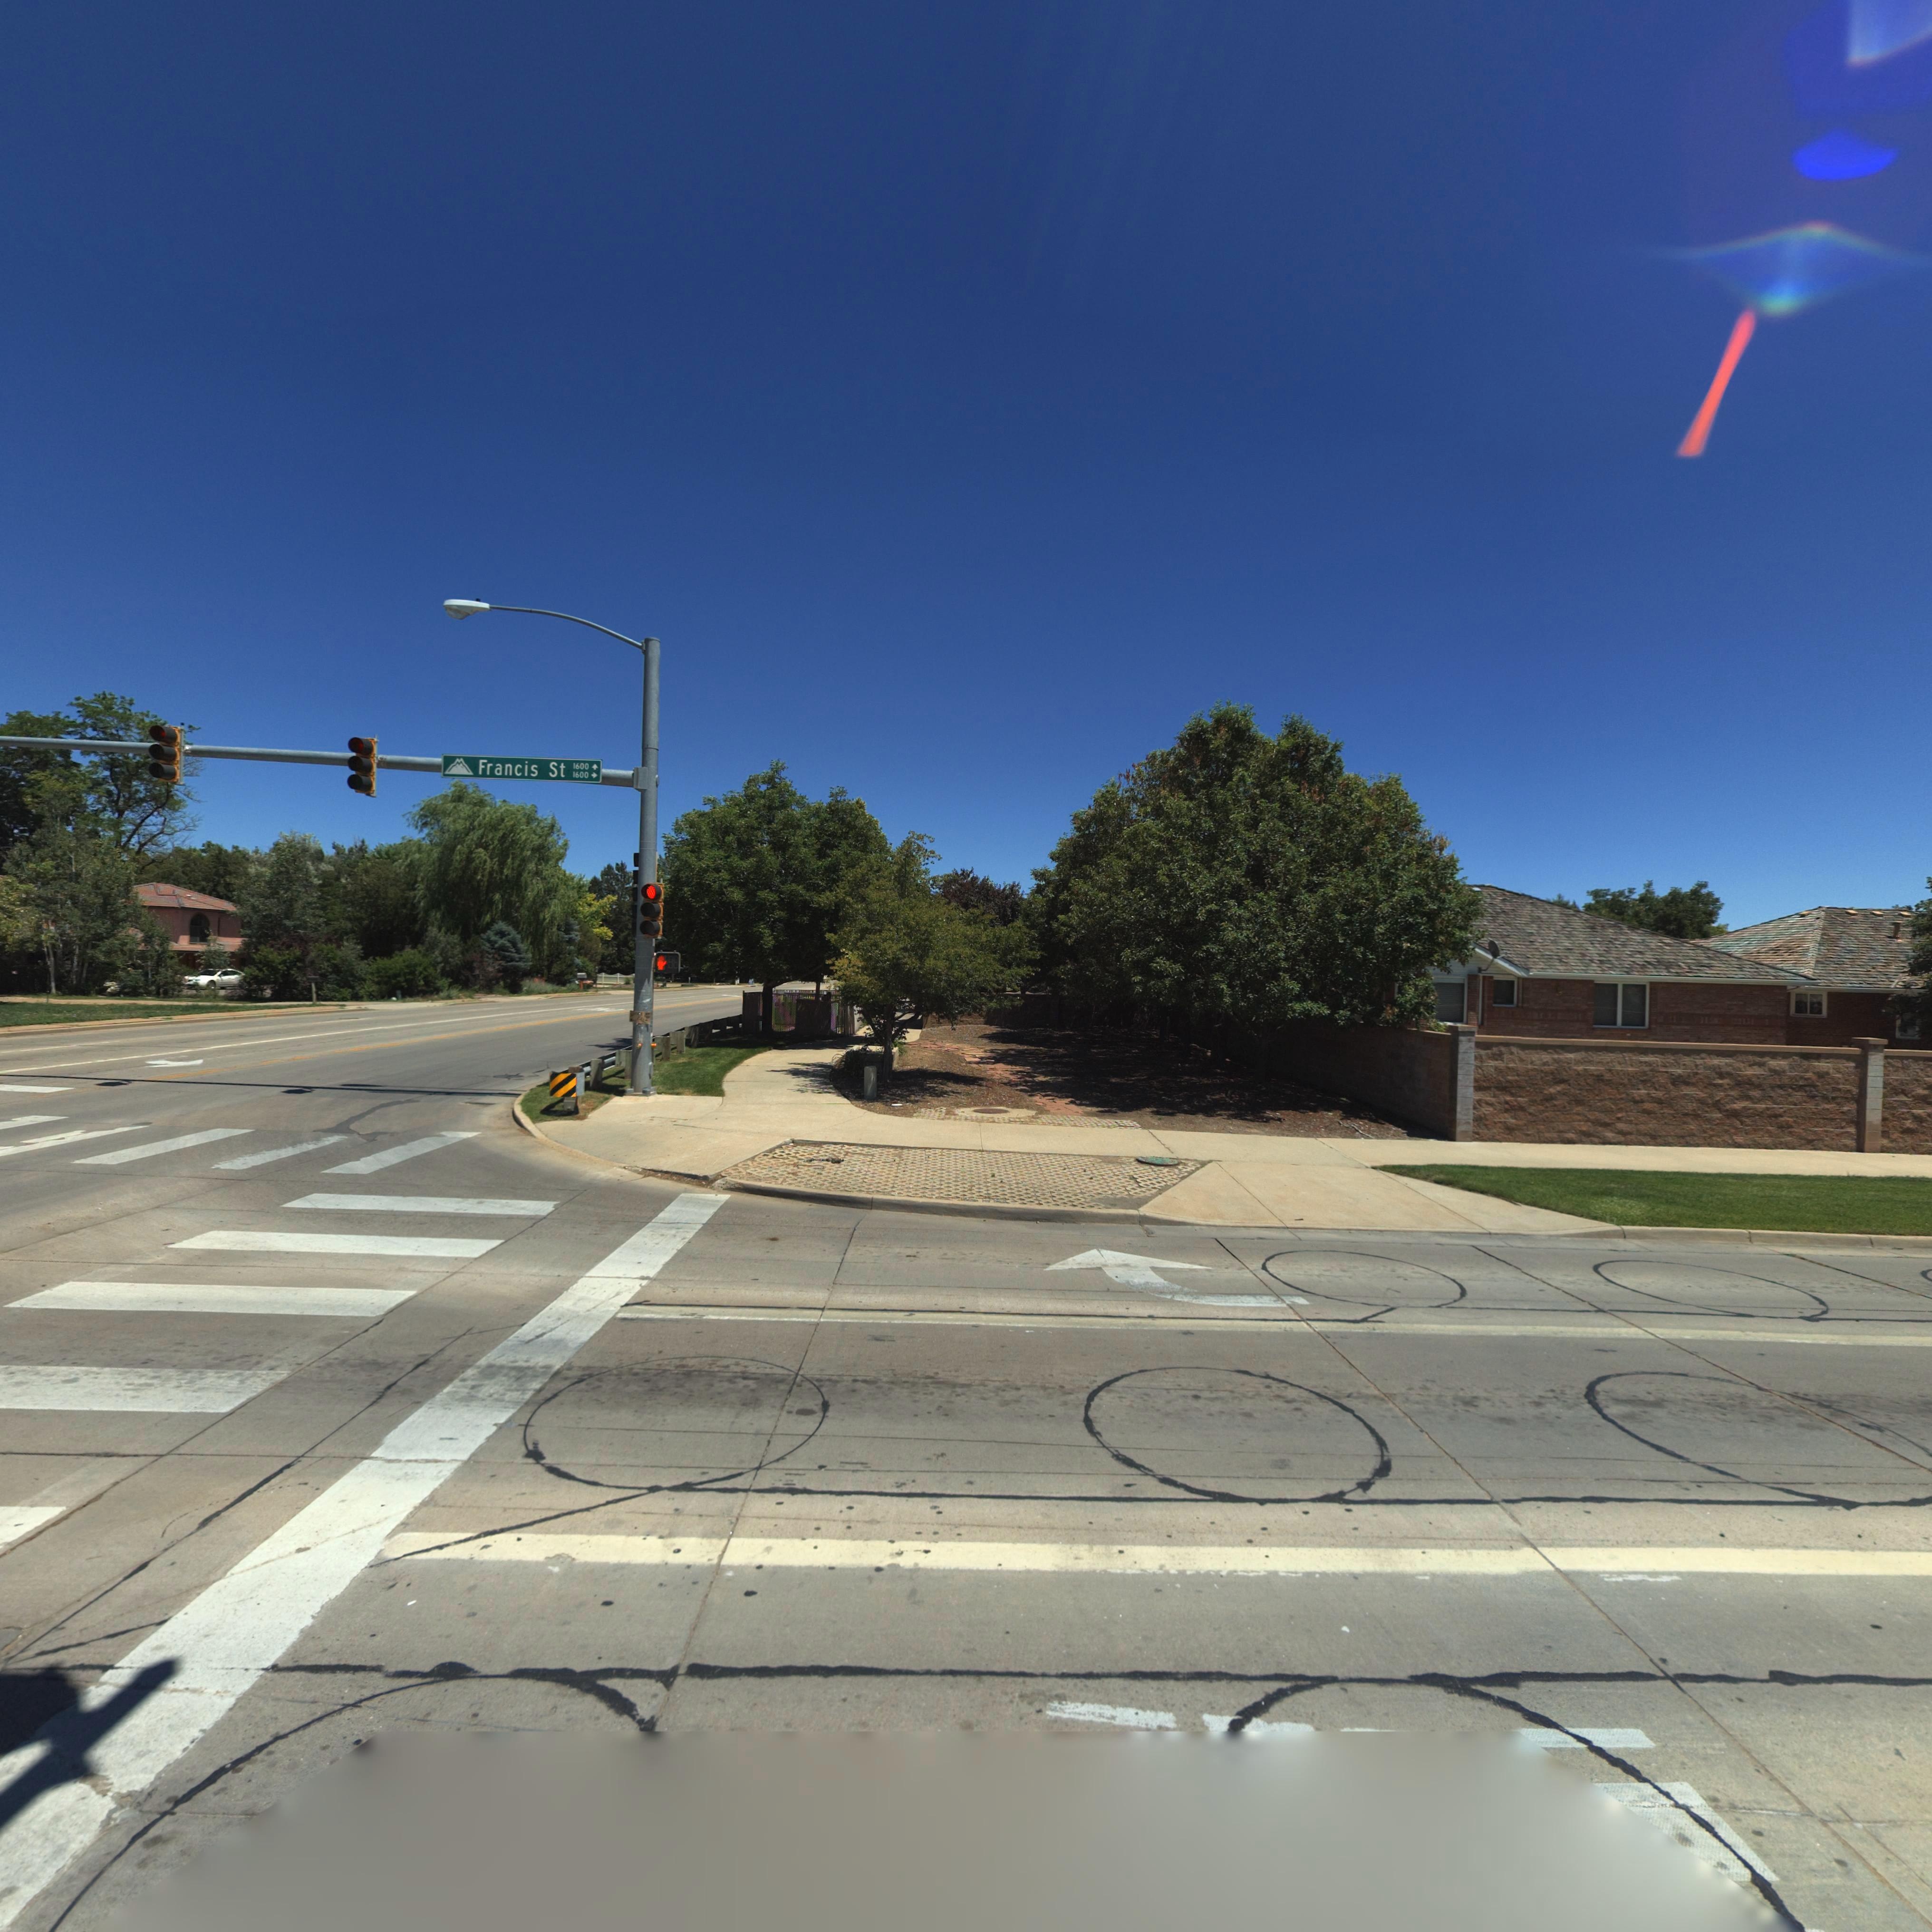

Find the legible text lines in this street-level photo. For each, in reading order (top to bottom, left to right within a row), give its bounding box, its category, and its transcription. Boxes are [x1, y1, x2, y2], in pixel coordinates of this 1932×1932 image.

[478, 759, 566, 777] StreetName: Francis St
[572, 762, 590, 770] StreetNumberRange: 1600
[572, 771, 599, 779] StreetNumberRange: 1600 ->